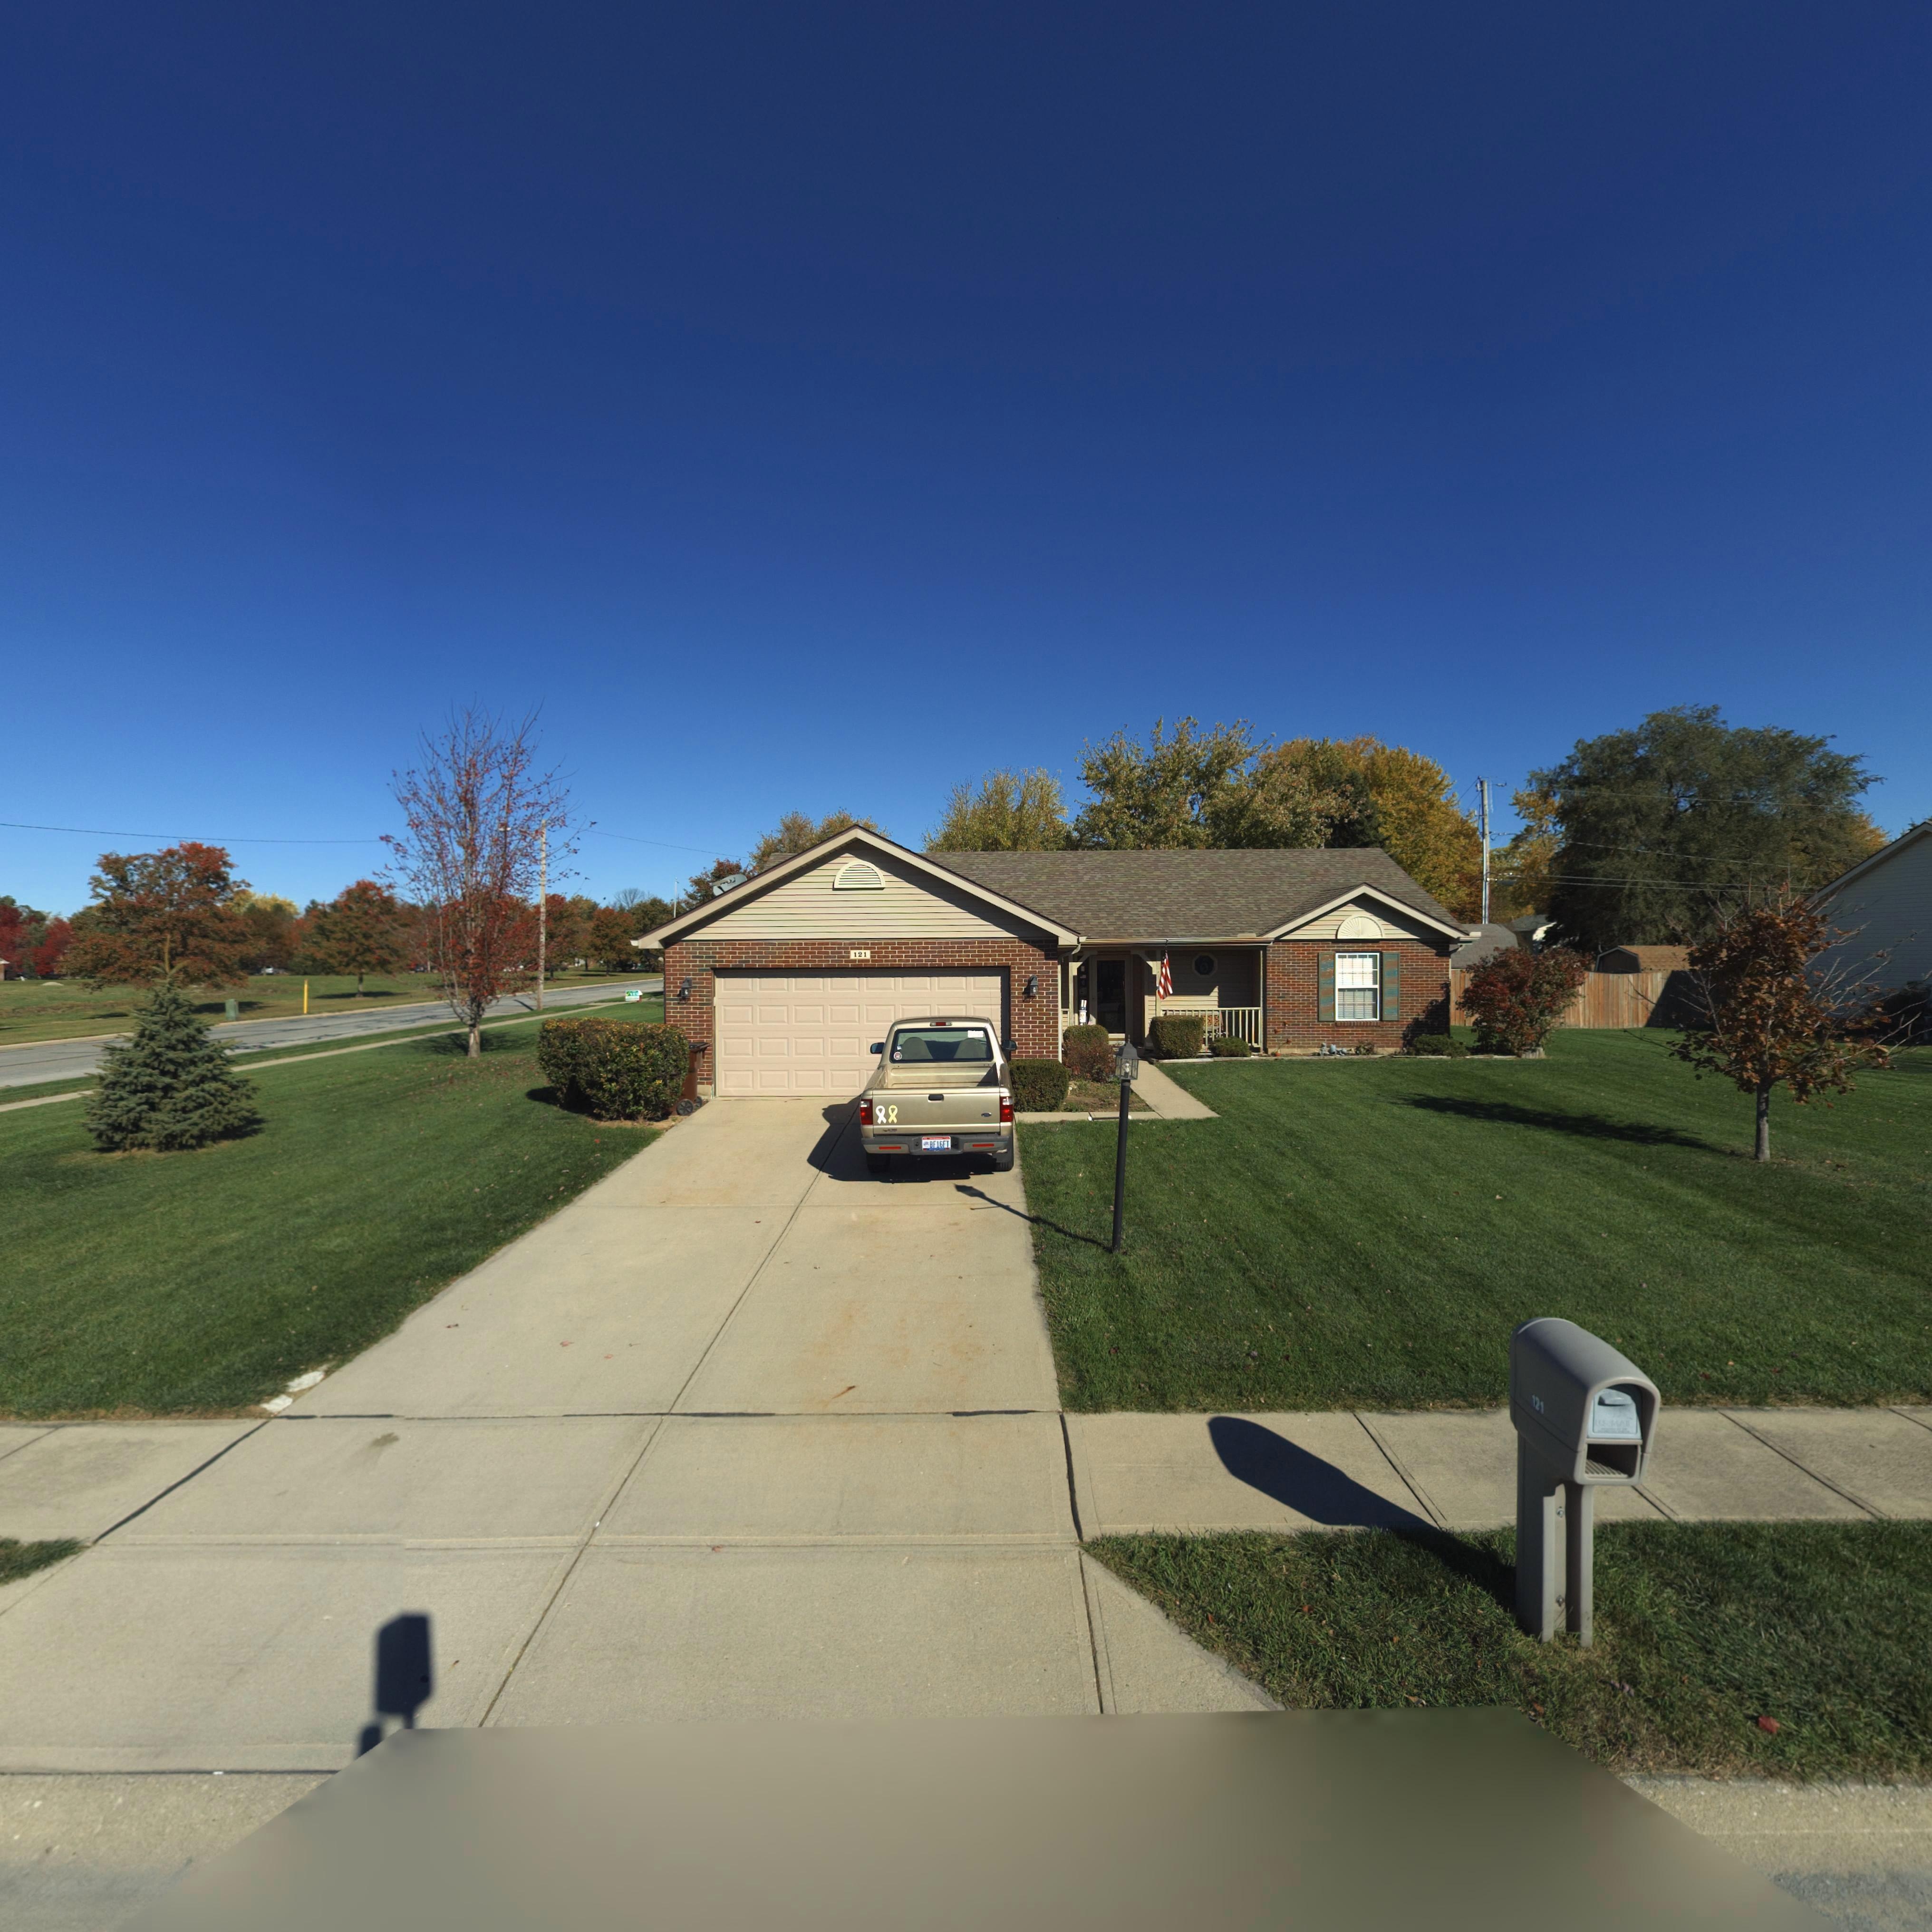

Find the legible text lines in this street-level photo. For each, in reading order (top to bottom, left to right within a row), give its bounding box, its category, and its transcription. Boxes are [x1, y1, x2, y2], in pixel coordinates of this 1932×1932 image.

[853, 951, 867, 958] StreetNumber: 121
[928, 1140, 950, 1149] None: BF16FT
[1531, 1392, 1545, 1417] StreetNumber: 121